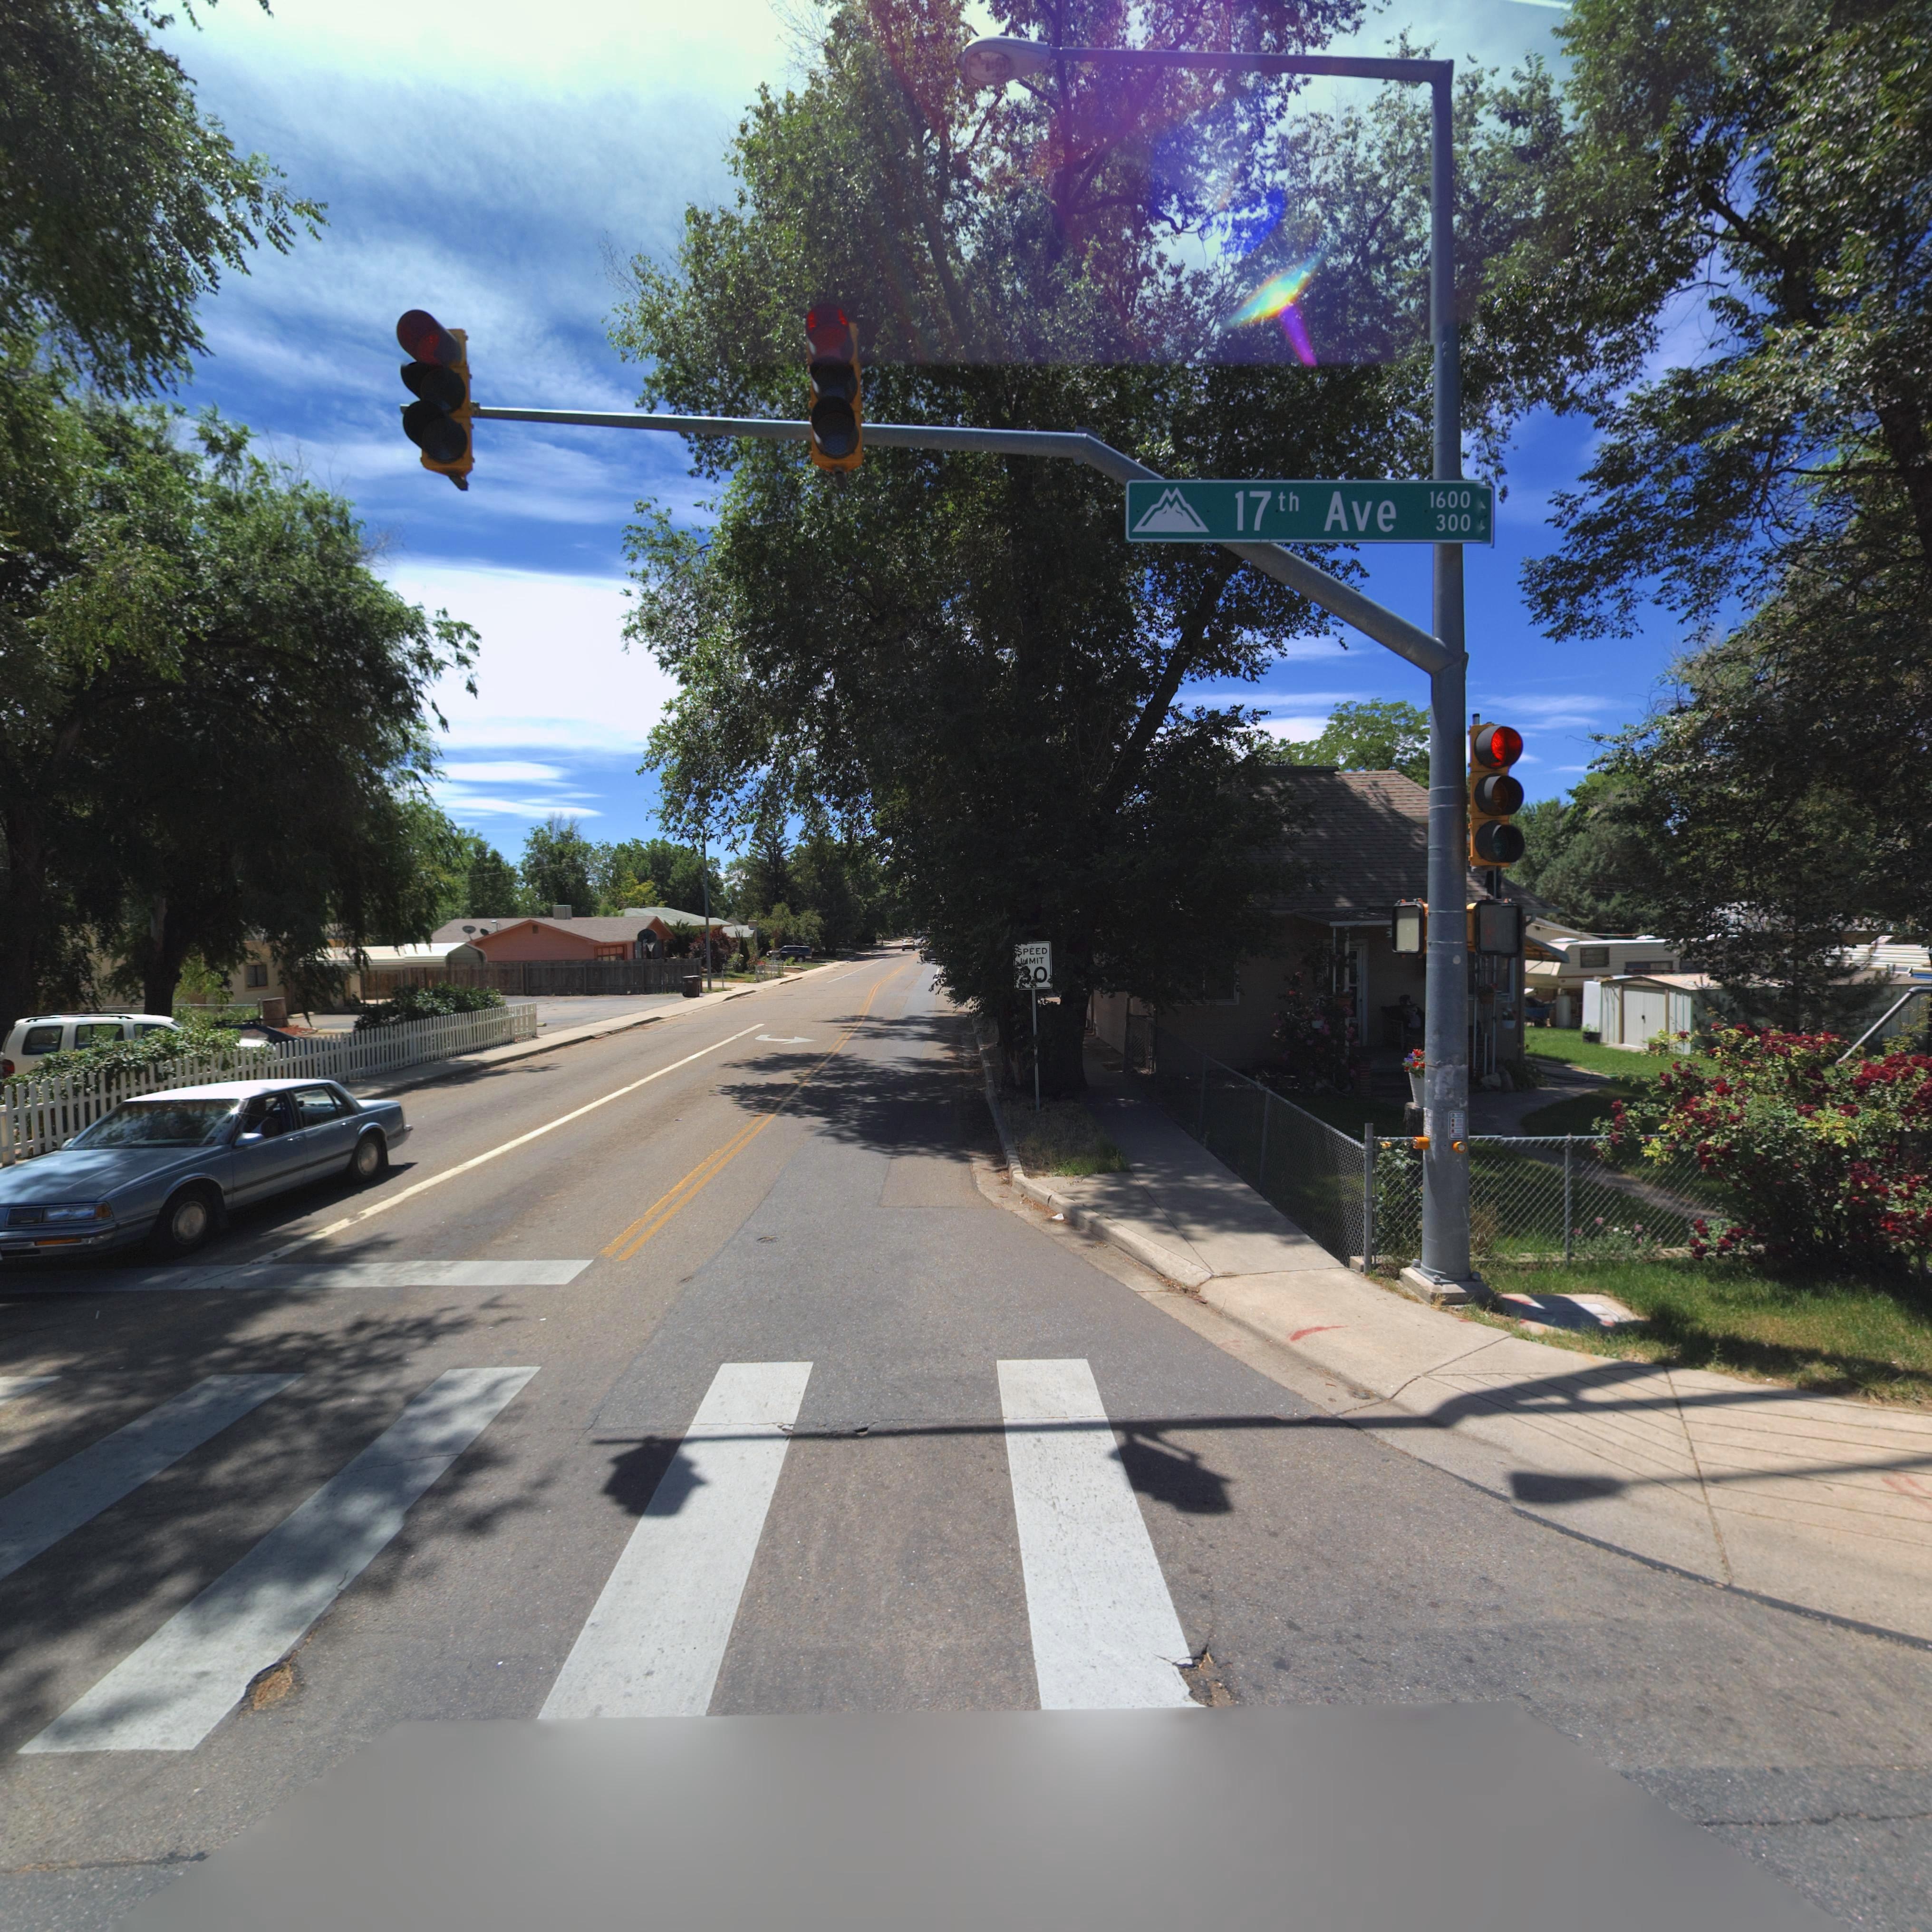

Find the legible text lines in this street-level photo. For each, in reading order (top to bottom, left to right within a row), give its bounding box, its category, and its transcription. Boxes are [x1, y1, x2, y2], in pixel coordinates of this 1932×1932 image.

[1428, 490, 1471, 509] StreetNumberRange: 1600
[1234, 490, 1397, 533] StreetName: 17th Ave
[1434, 513, 1471, 532] StreetNumberRange: 300